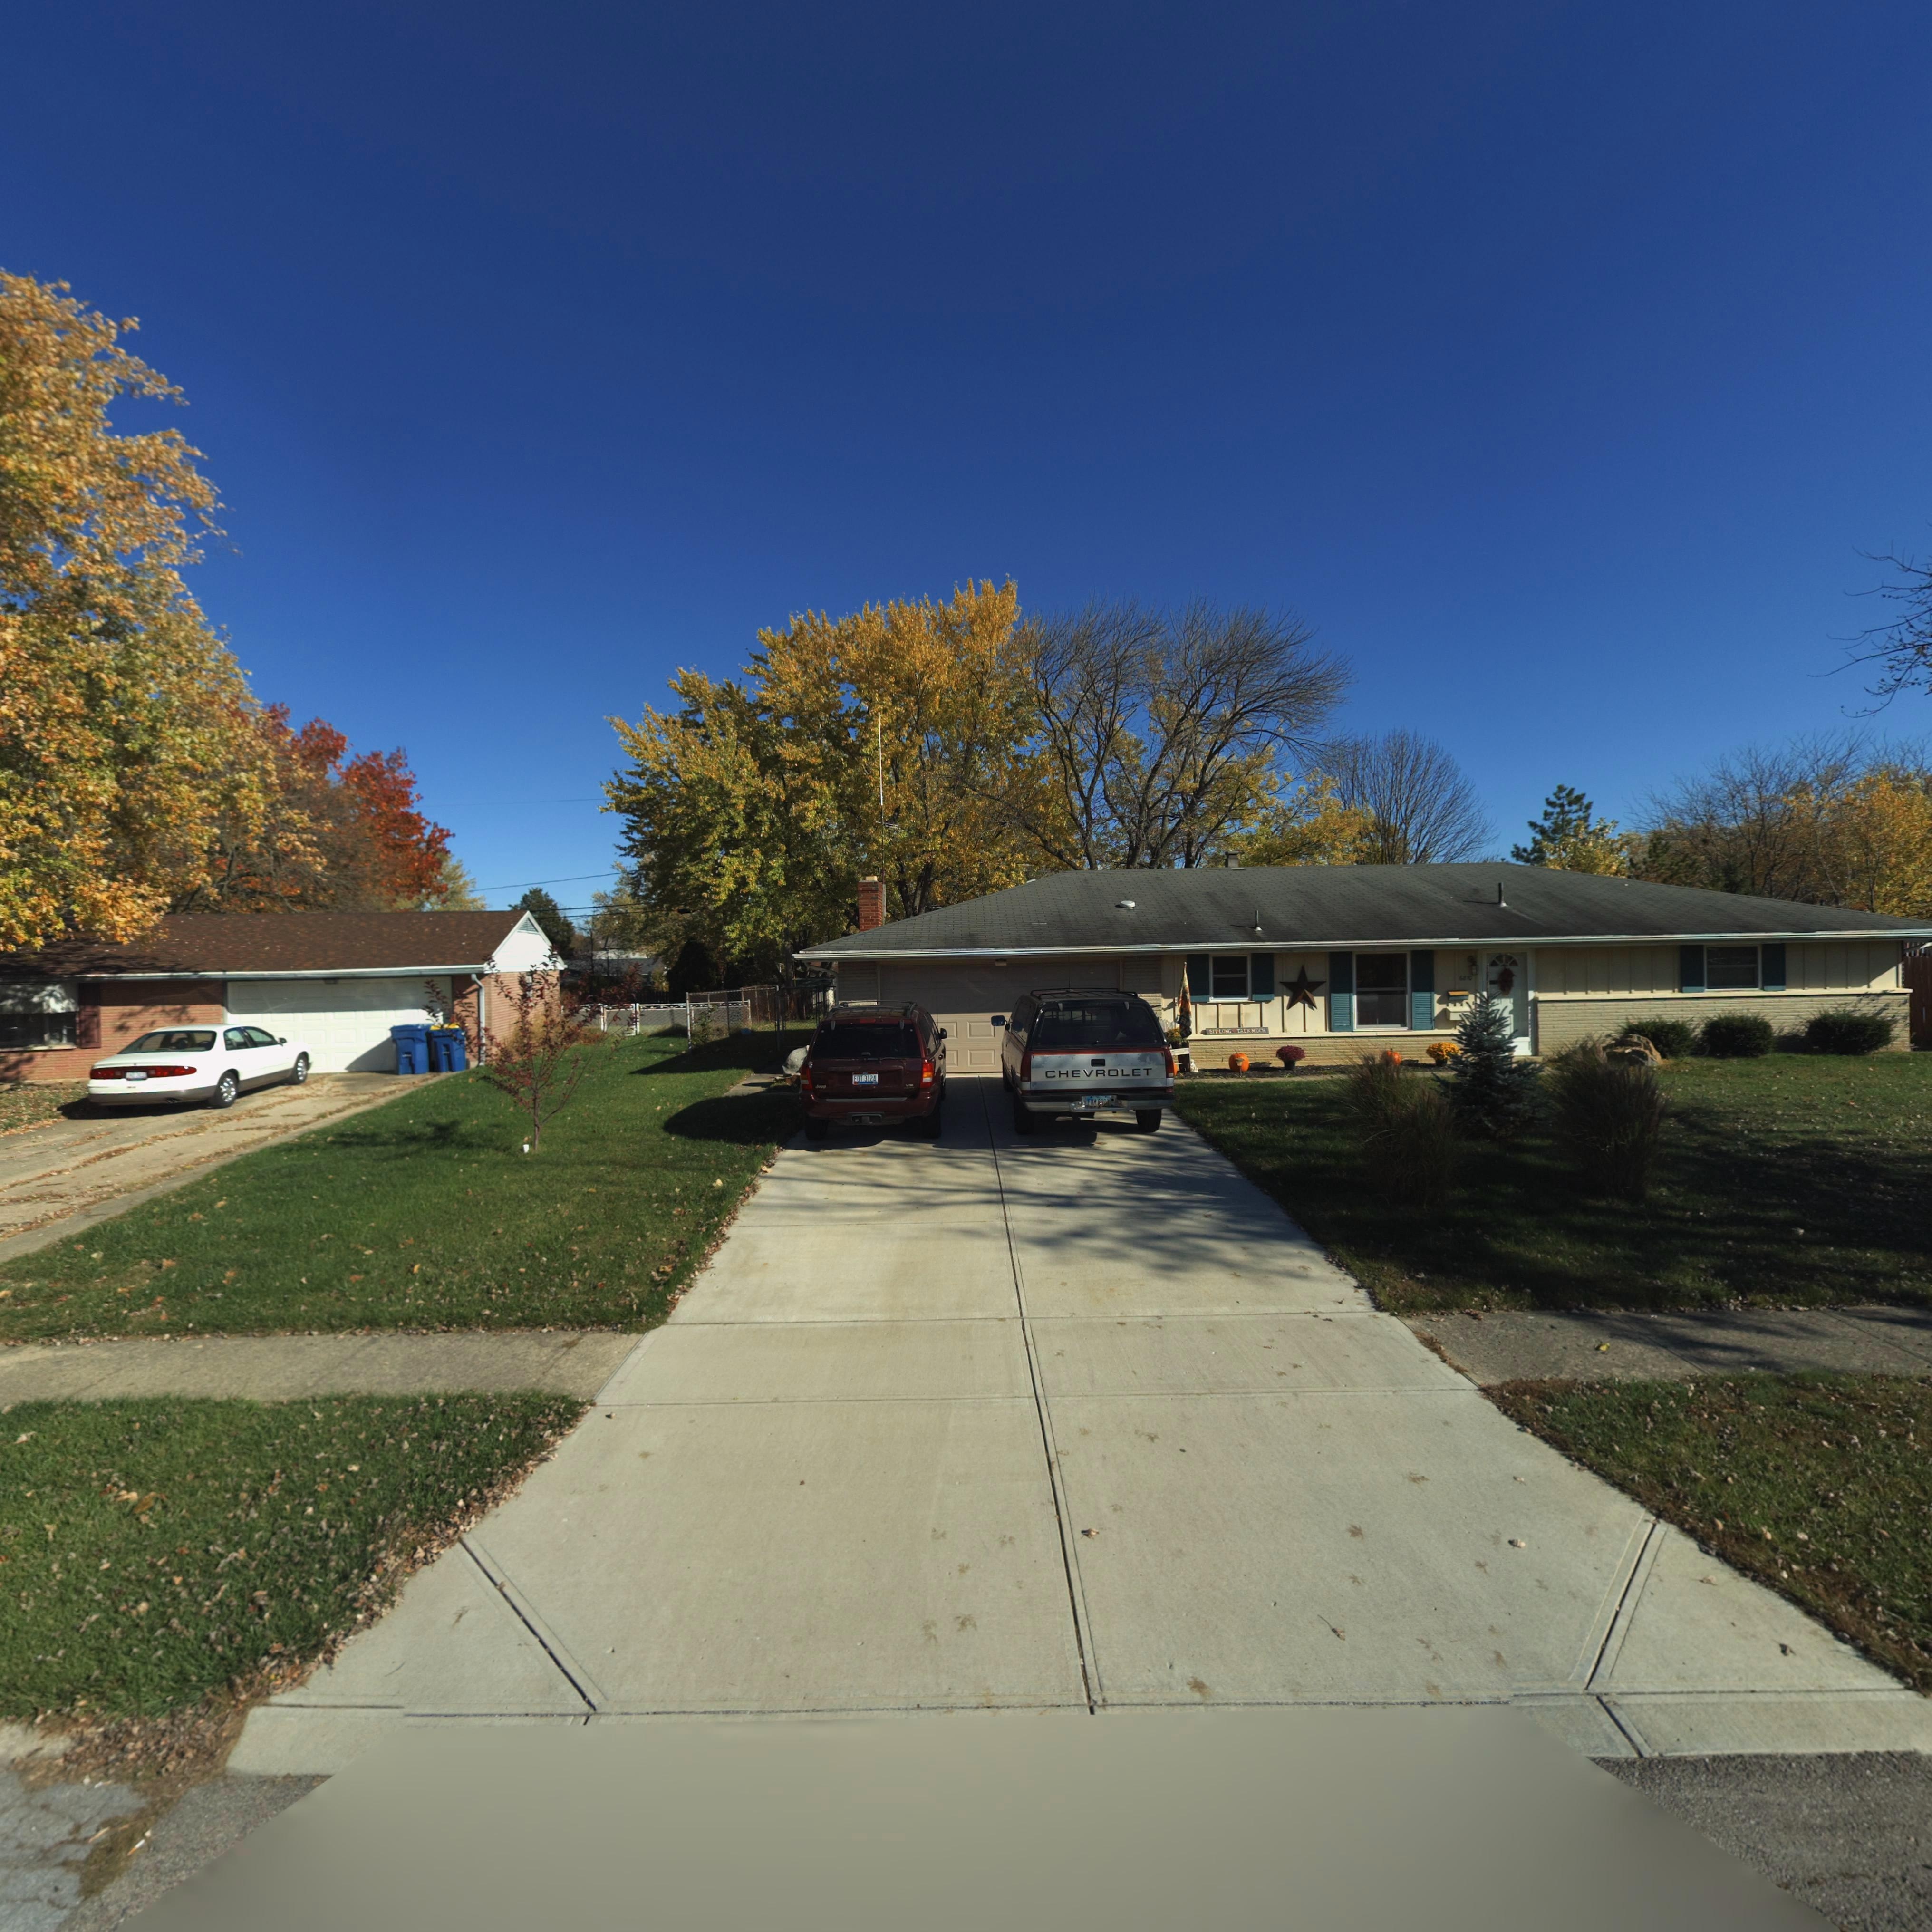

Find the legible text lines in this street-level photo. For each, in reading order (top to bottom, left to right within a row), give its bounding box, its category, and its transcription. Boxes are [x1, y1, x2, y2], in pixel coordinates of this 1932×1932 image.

[1458, 975, 1473, 982] StreetNumber: 6810